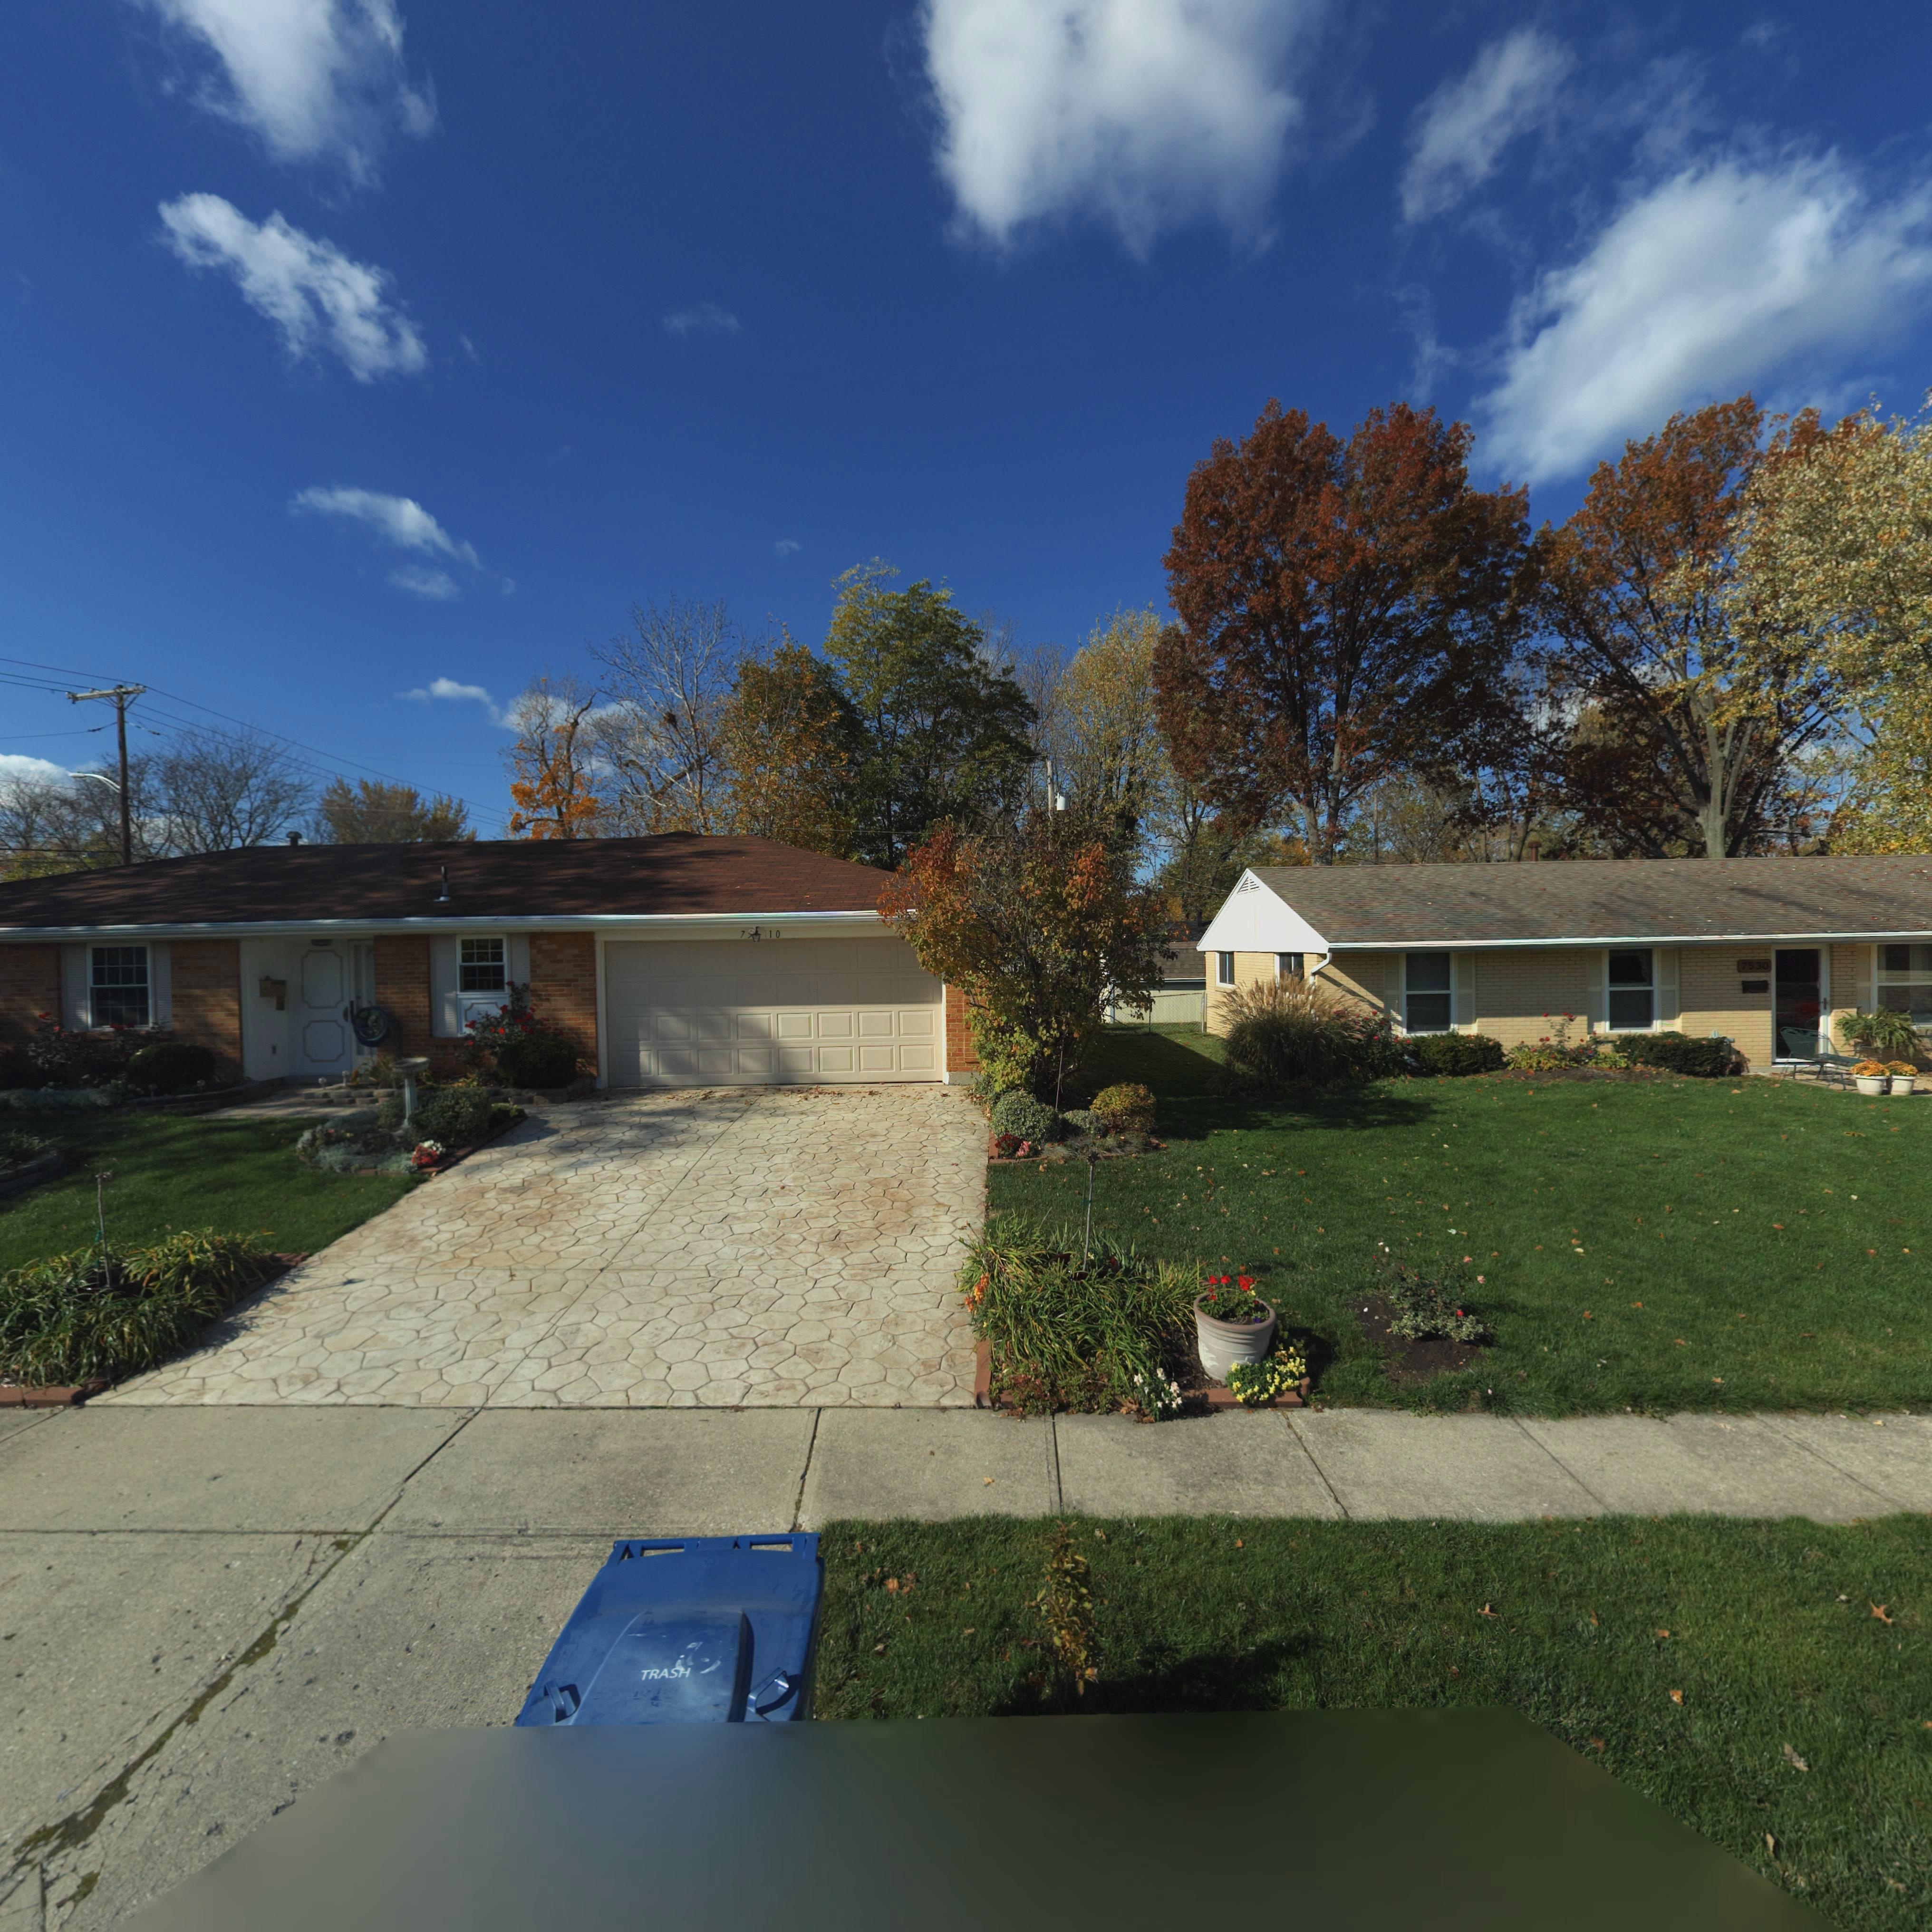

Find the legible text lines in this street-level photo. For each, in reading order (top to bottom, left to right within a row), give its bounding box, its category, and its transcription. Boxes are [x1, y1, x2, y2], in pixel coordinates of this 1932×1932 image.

[739, 928, 782, 939] StreetNumber: 7**10
[1740, 960, 1770, 971] StreetNumber: 7530